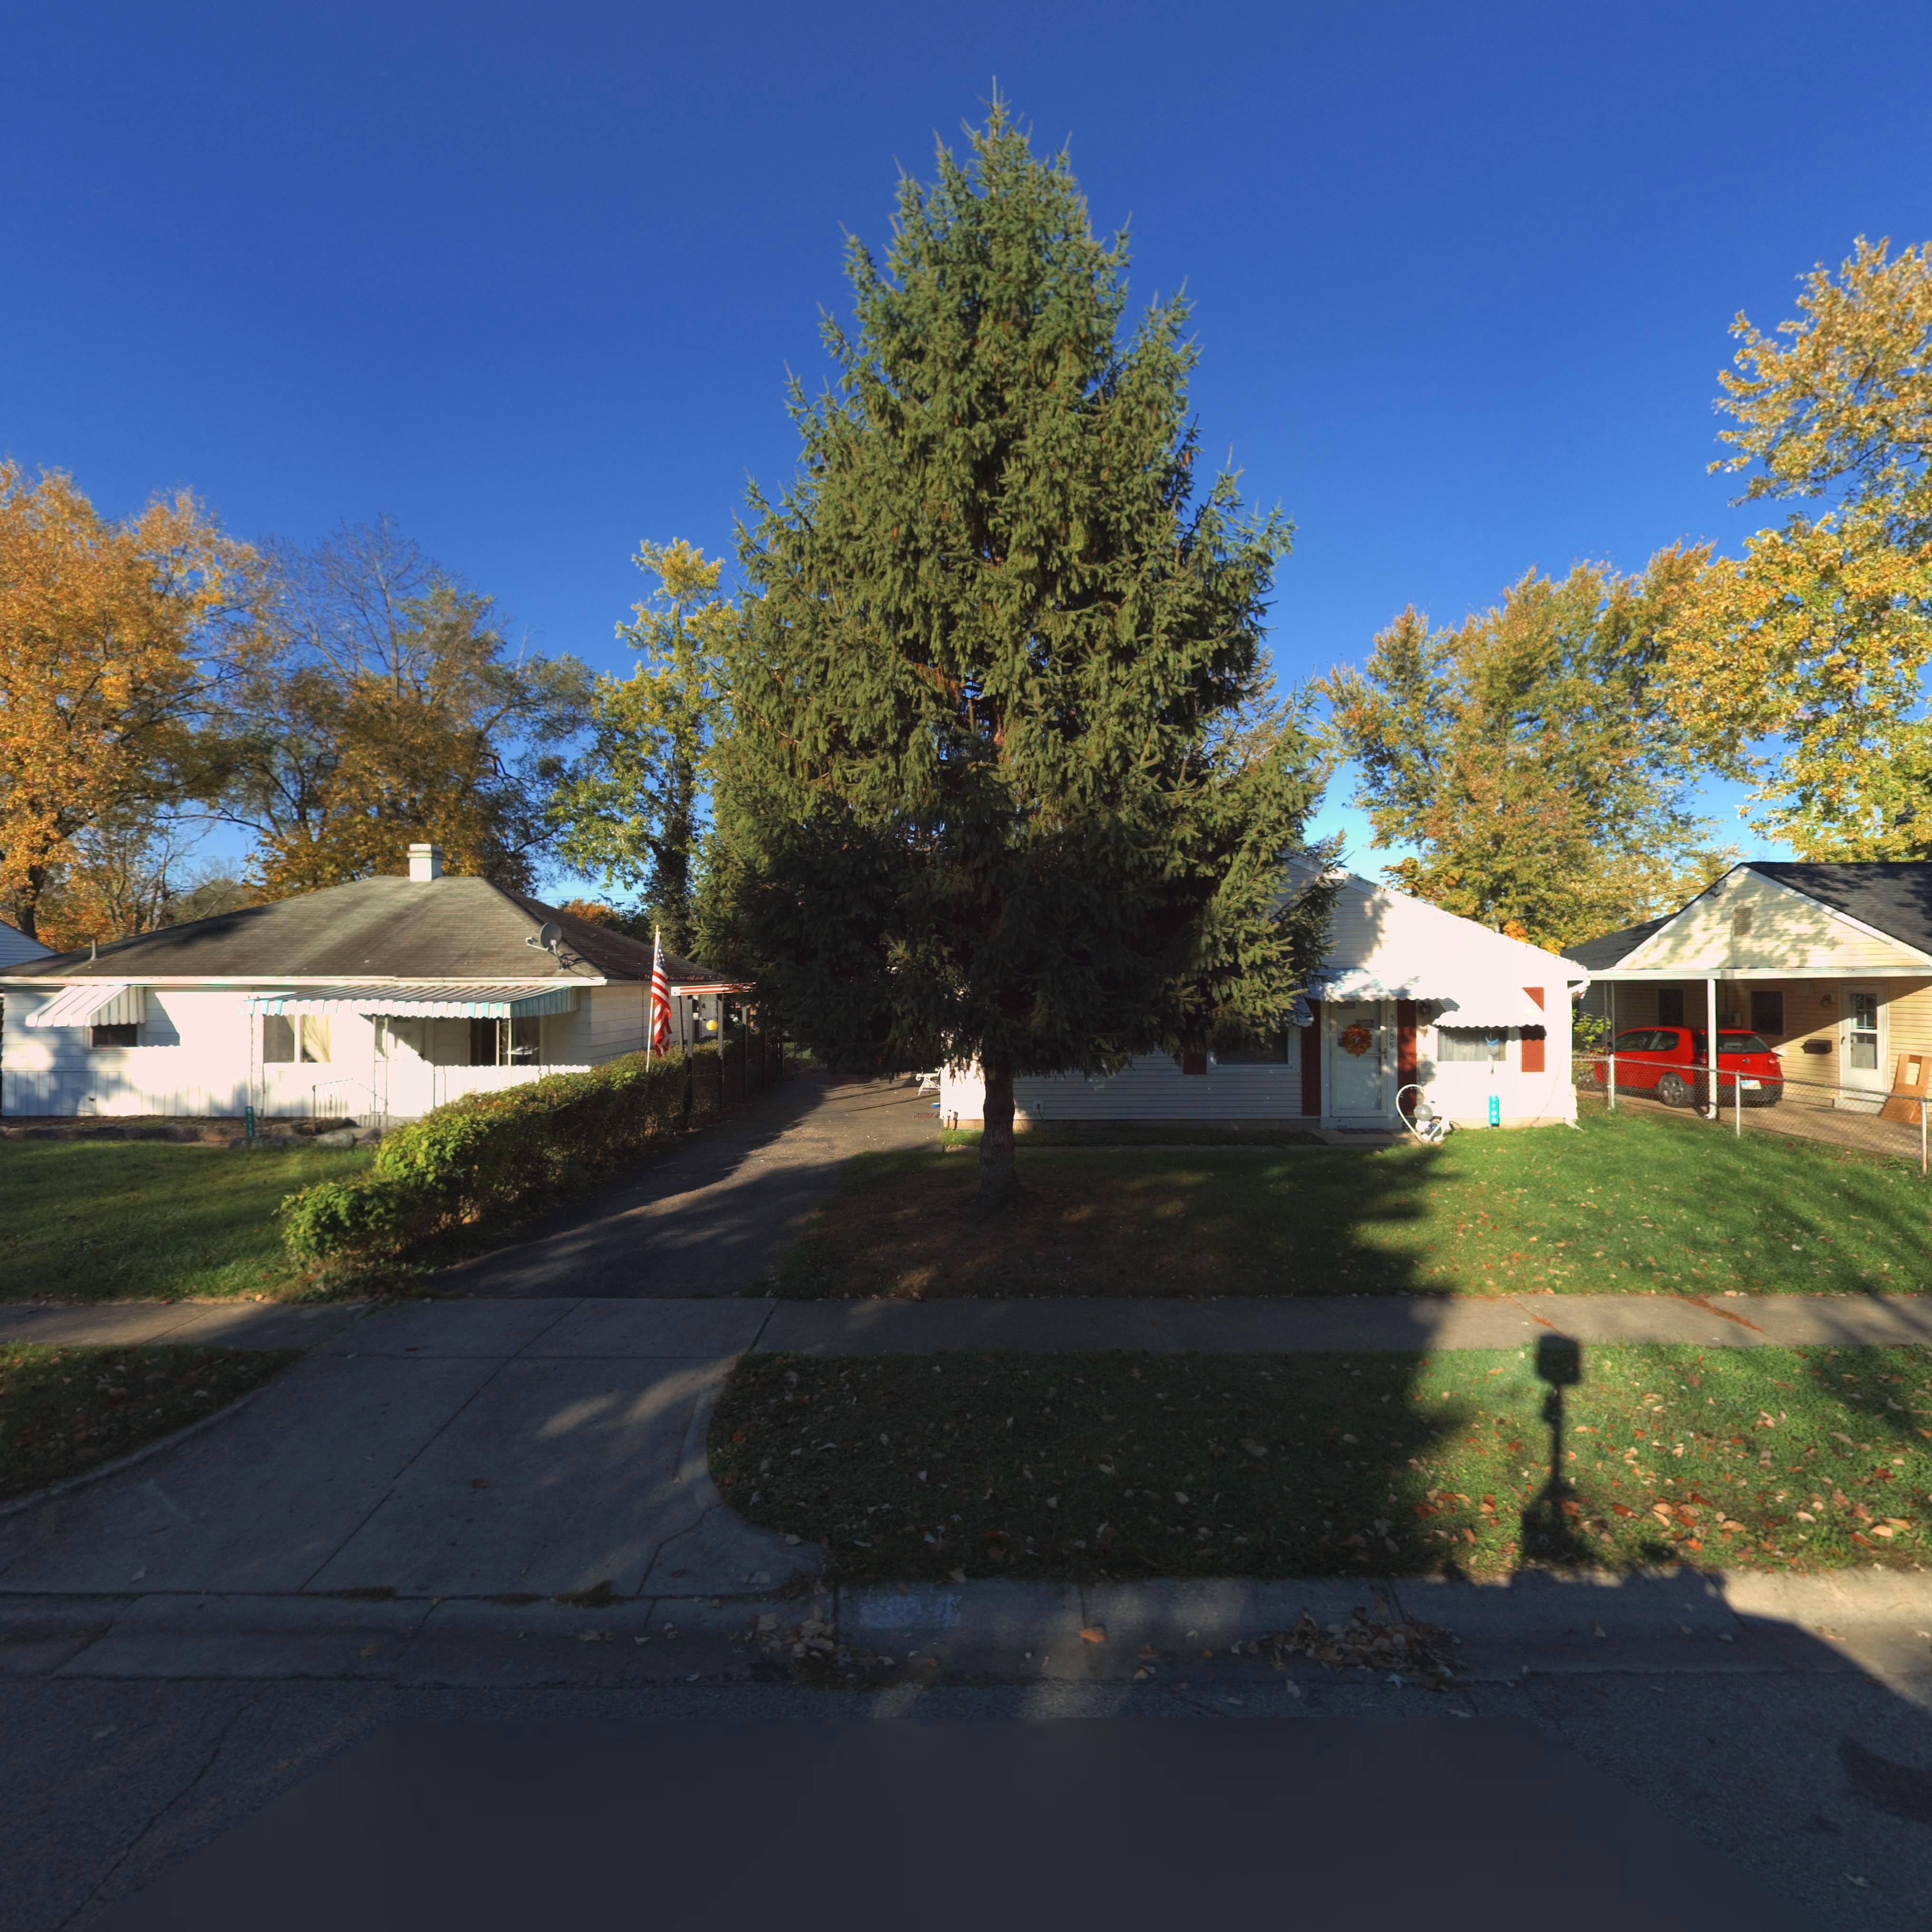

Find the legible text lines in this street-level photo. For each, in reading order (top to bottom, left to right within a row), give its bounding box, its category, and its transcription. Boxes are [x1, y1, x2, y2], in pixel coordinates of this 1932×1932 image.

[1389, 1014, 1395, 1049] StreetNumber: 5109
[247, 1107, 253, 1137] StreetNumber: 5115
[1491, 1095, 1496, 1123] StreetNumber: 5109